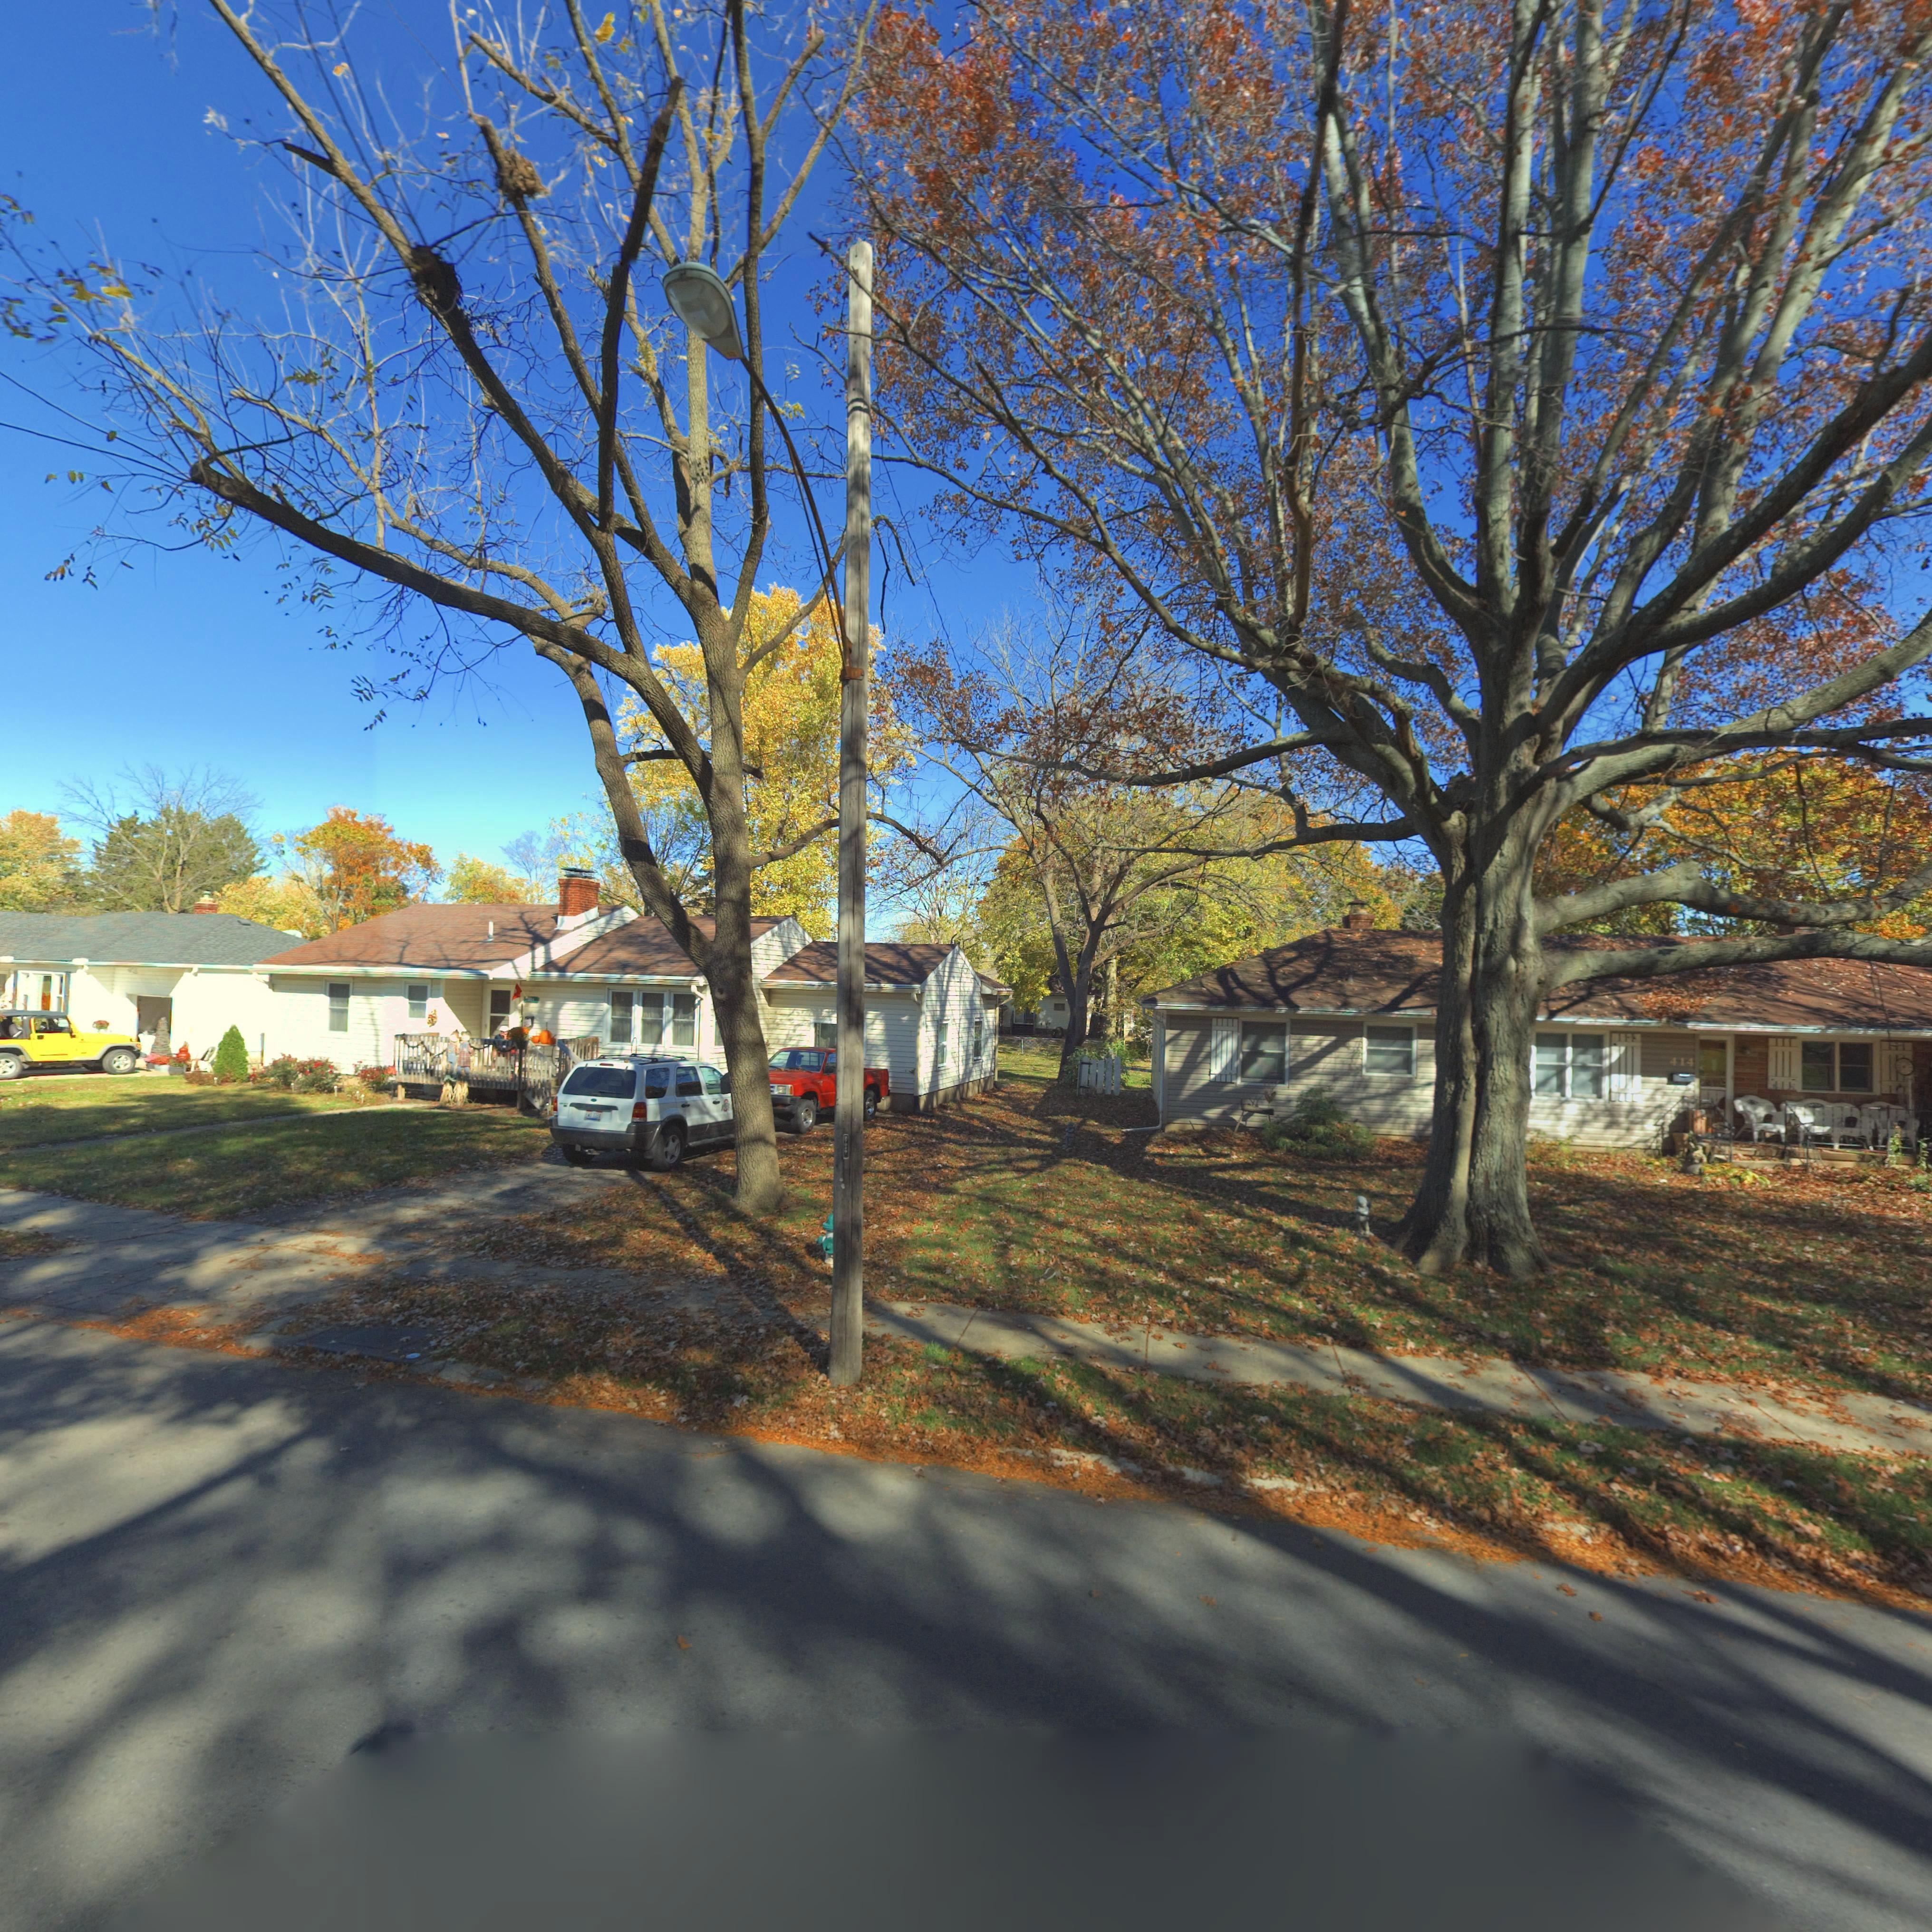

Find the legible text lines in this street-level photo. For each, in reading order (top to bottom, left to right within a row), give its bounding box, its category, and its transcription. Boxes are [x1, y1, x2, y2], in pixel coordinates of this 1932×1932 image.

[1668, 1056, 1694, 1067] StreetNumber: 414